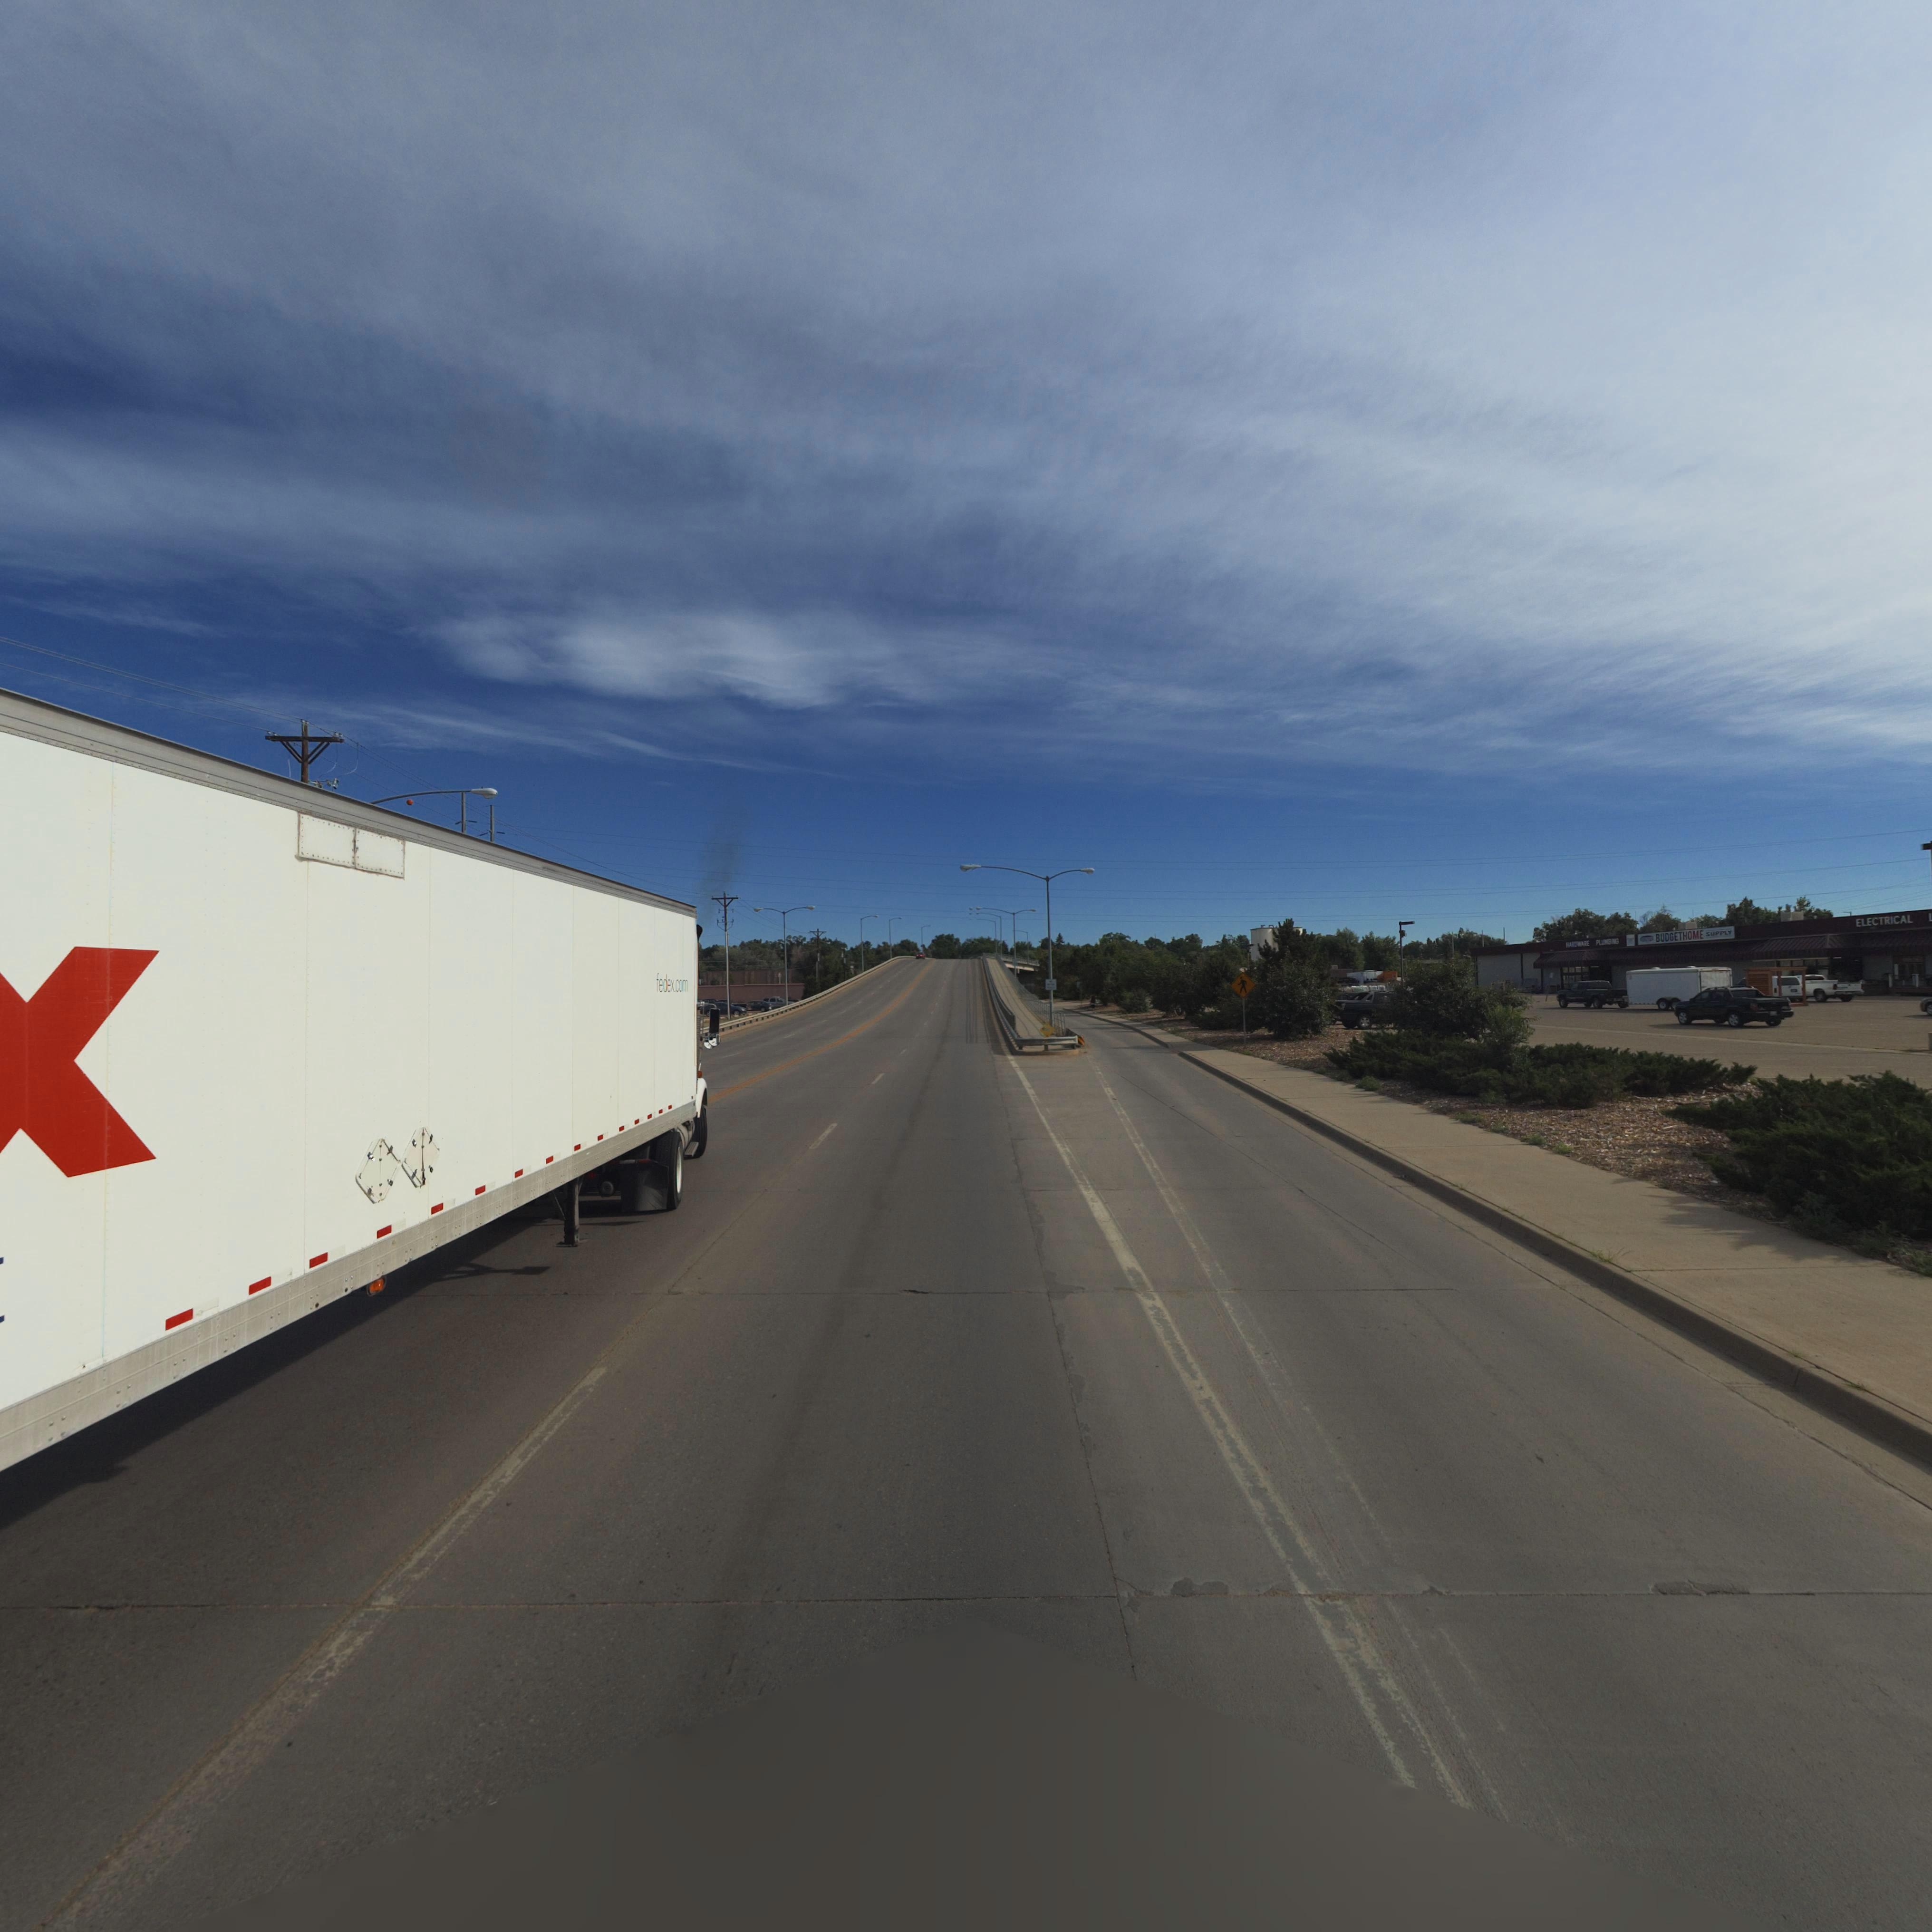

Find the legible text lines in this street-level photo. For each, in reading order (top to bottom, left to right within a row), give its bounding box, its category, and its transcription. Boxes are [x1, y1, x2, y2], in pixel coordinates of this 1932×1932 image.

[1655, 929, 1704, 943] BusinessName: BUDGETHOME
[1705, 930, 1732, 937] BusinessName: SUPPLY